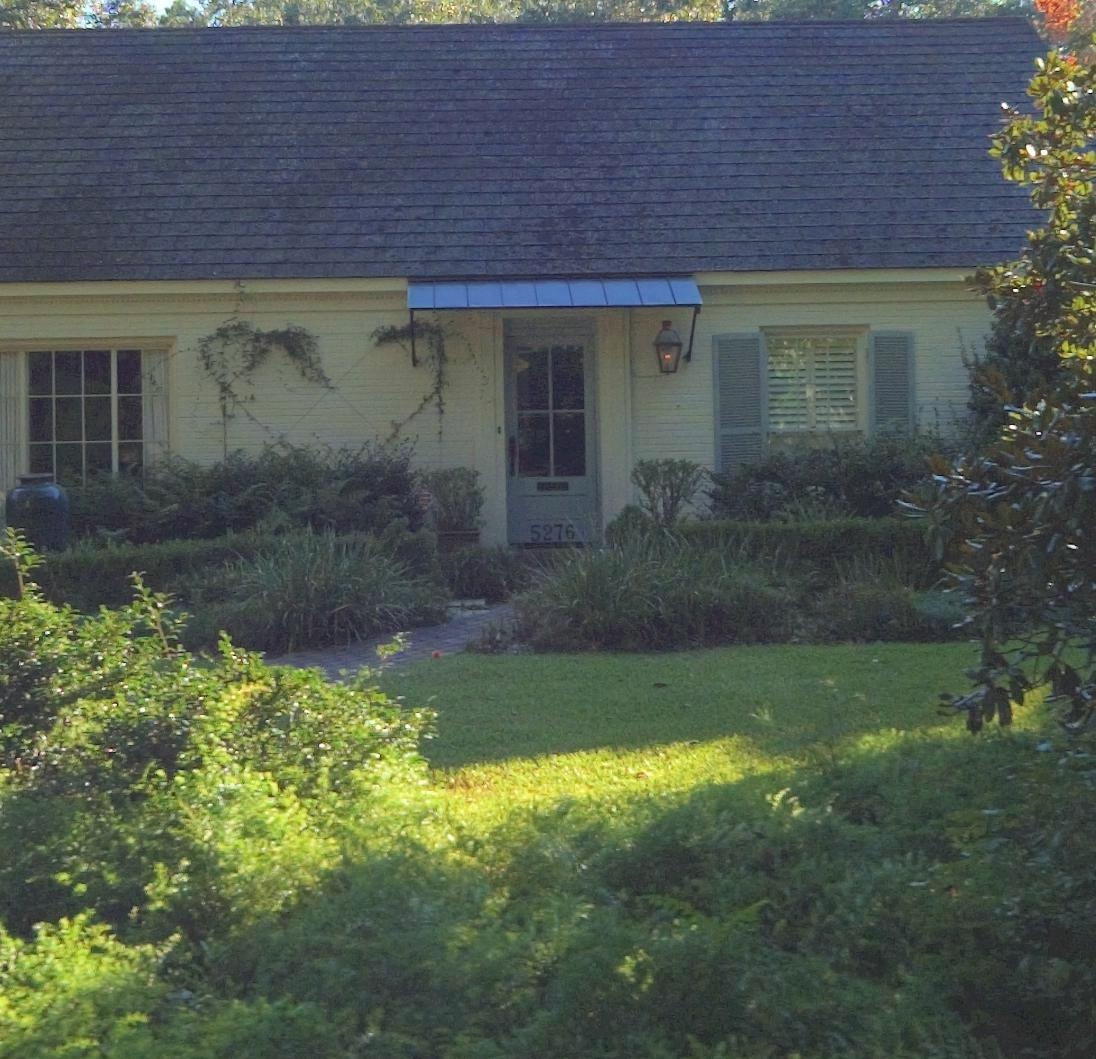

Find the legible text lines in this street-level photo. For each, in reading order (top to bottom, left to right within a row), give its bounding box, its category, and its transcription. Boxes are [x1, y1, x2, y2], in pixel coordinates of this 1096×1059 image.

[528, 521, 577, 544] StreetNumber: 5276